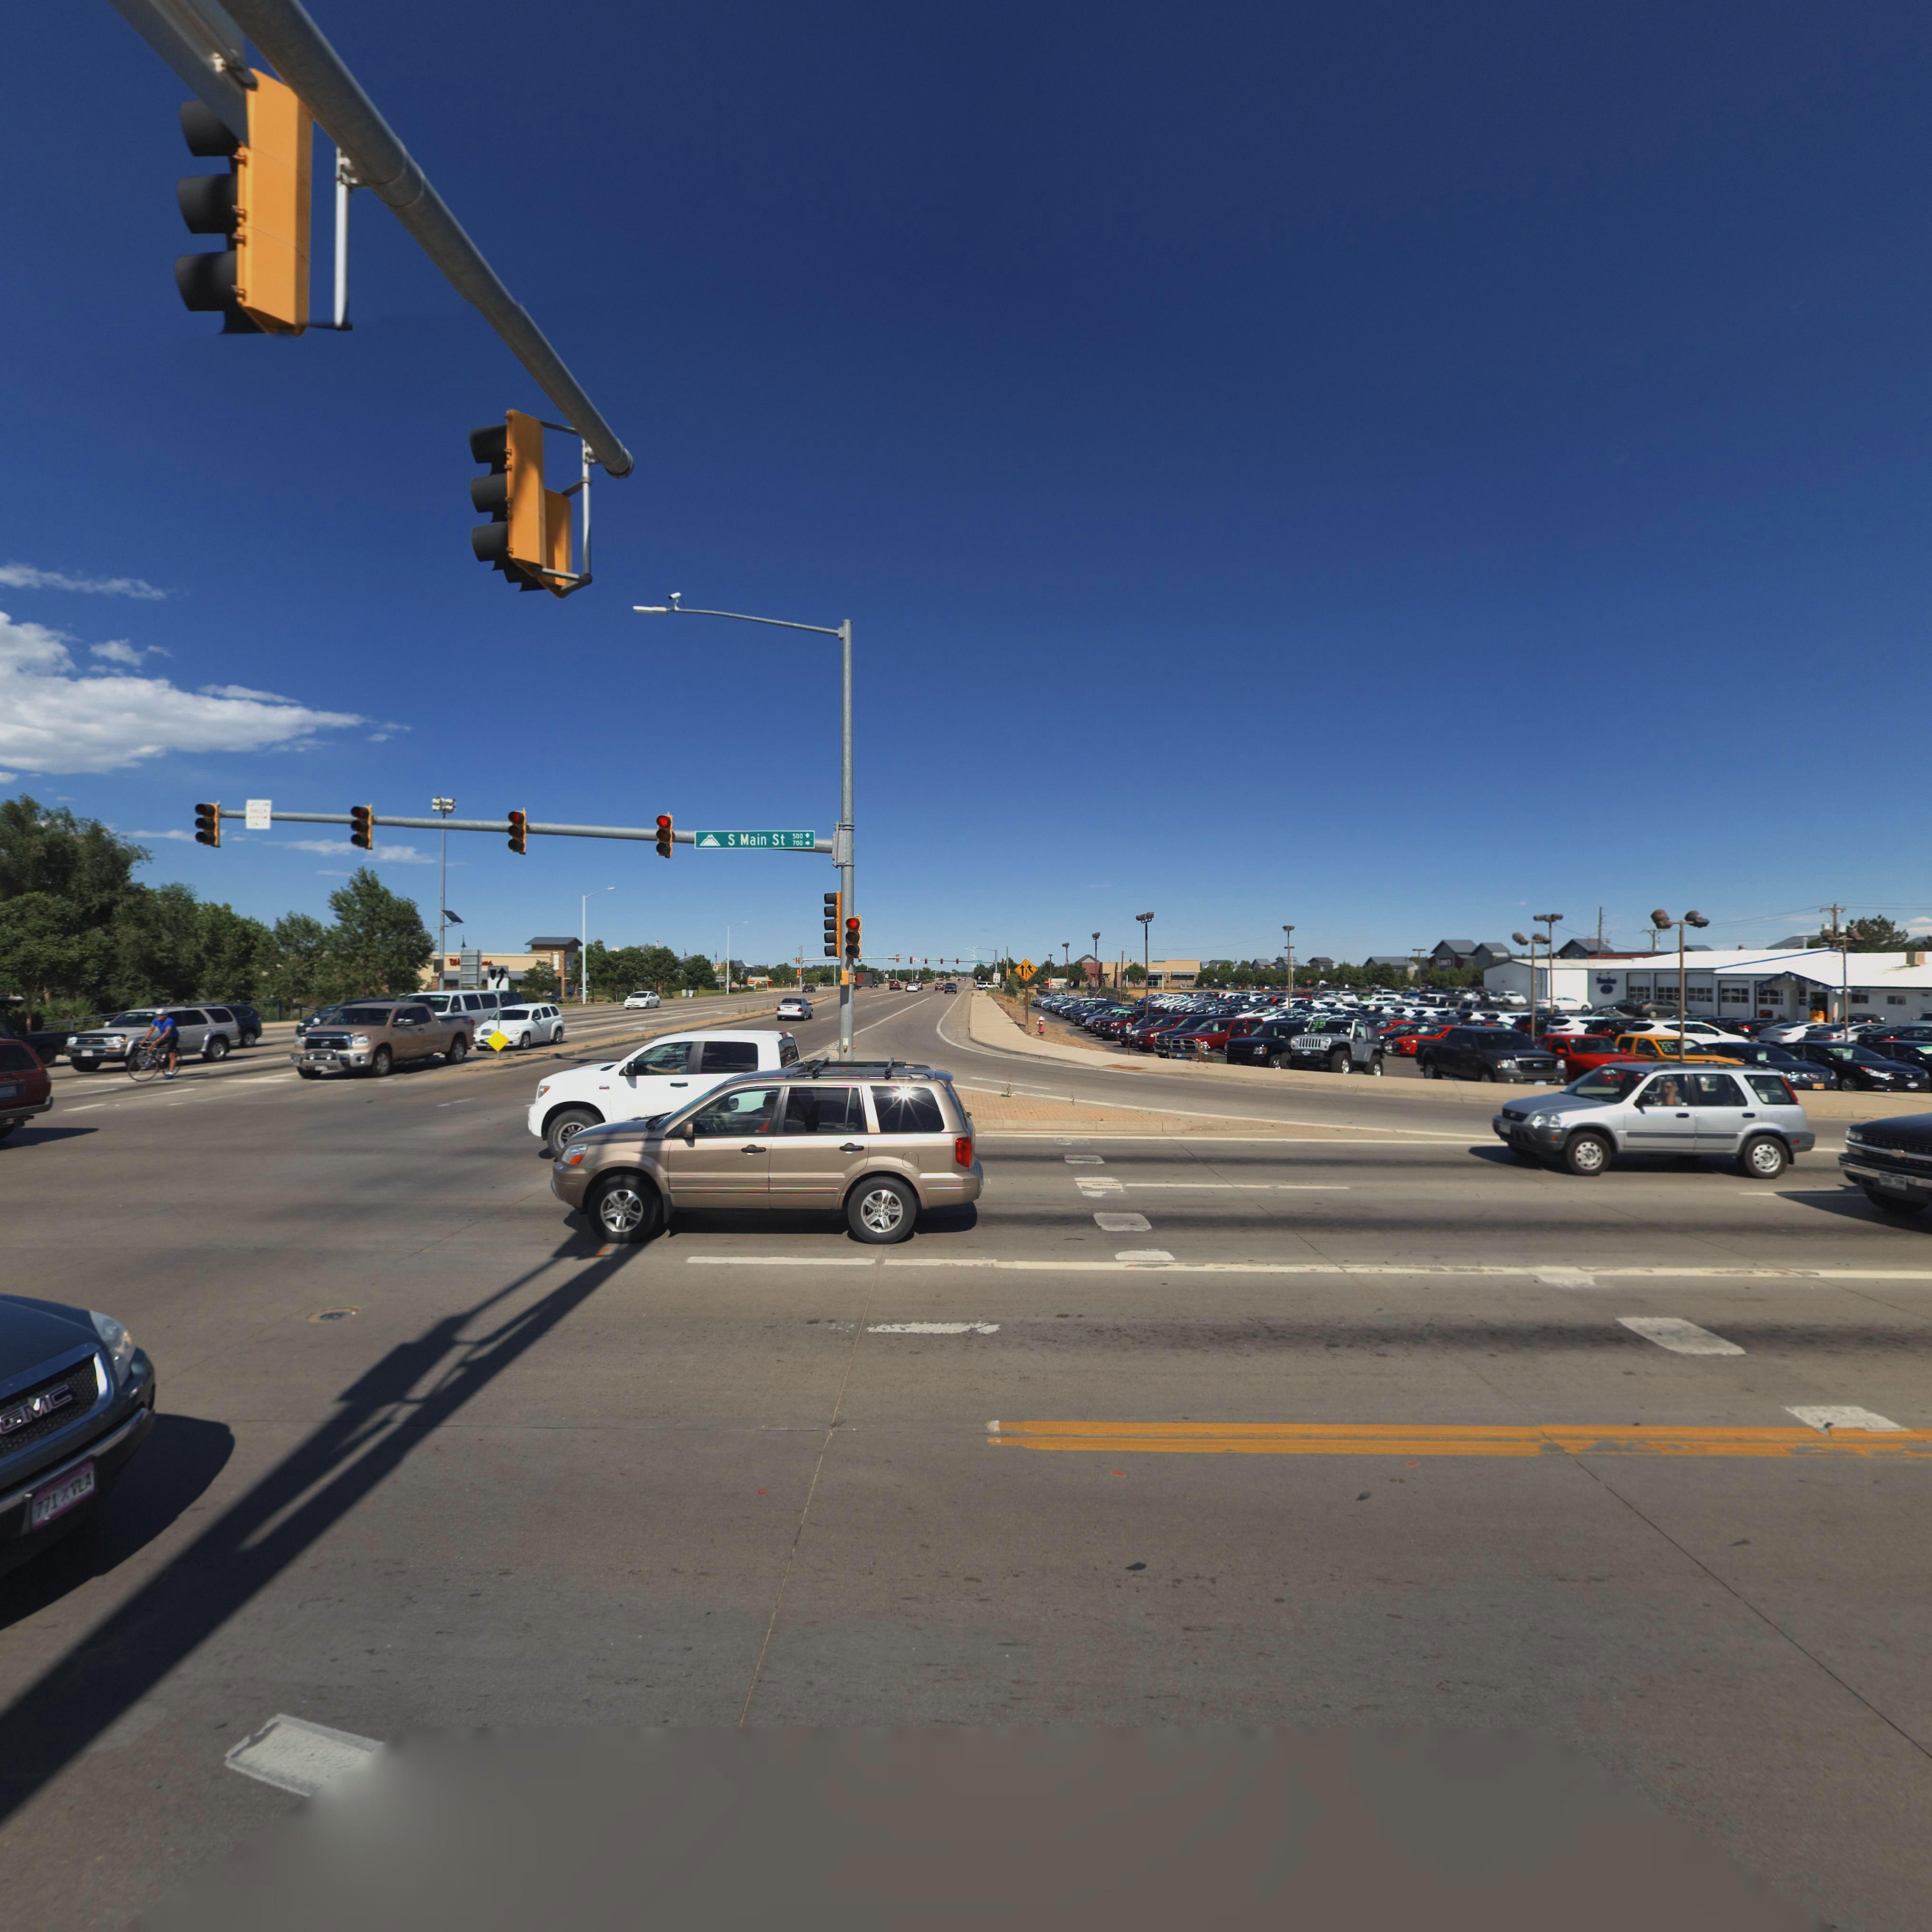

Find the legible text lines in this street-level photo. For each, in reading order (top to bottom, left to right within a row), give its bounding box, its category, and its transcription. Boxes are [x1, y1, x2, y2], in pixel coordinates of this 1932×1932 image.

[726, 832, 786, 847] StreetName: S Main St
[792, 832, 803, 839] StreetNumberRange: 500
[792, 840, 811, 846] StreetNumberRange: 700 ->
[448, 957, 493, 966] BusinessName: W******ns